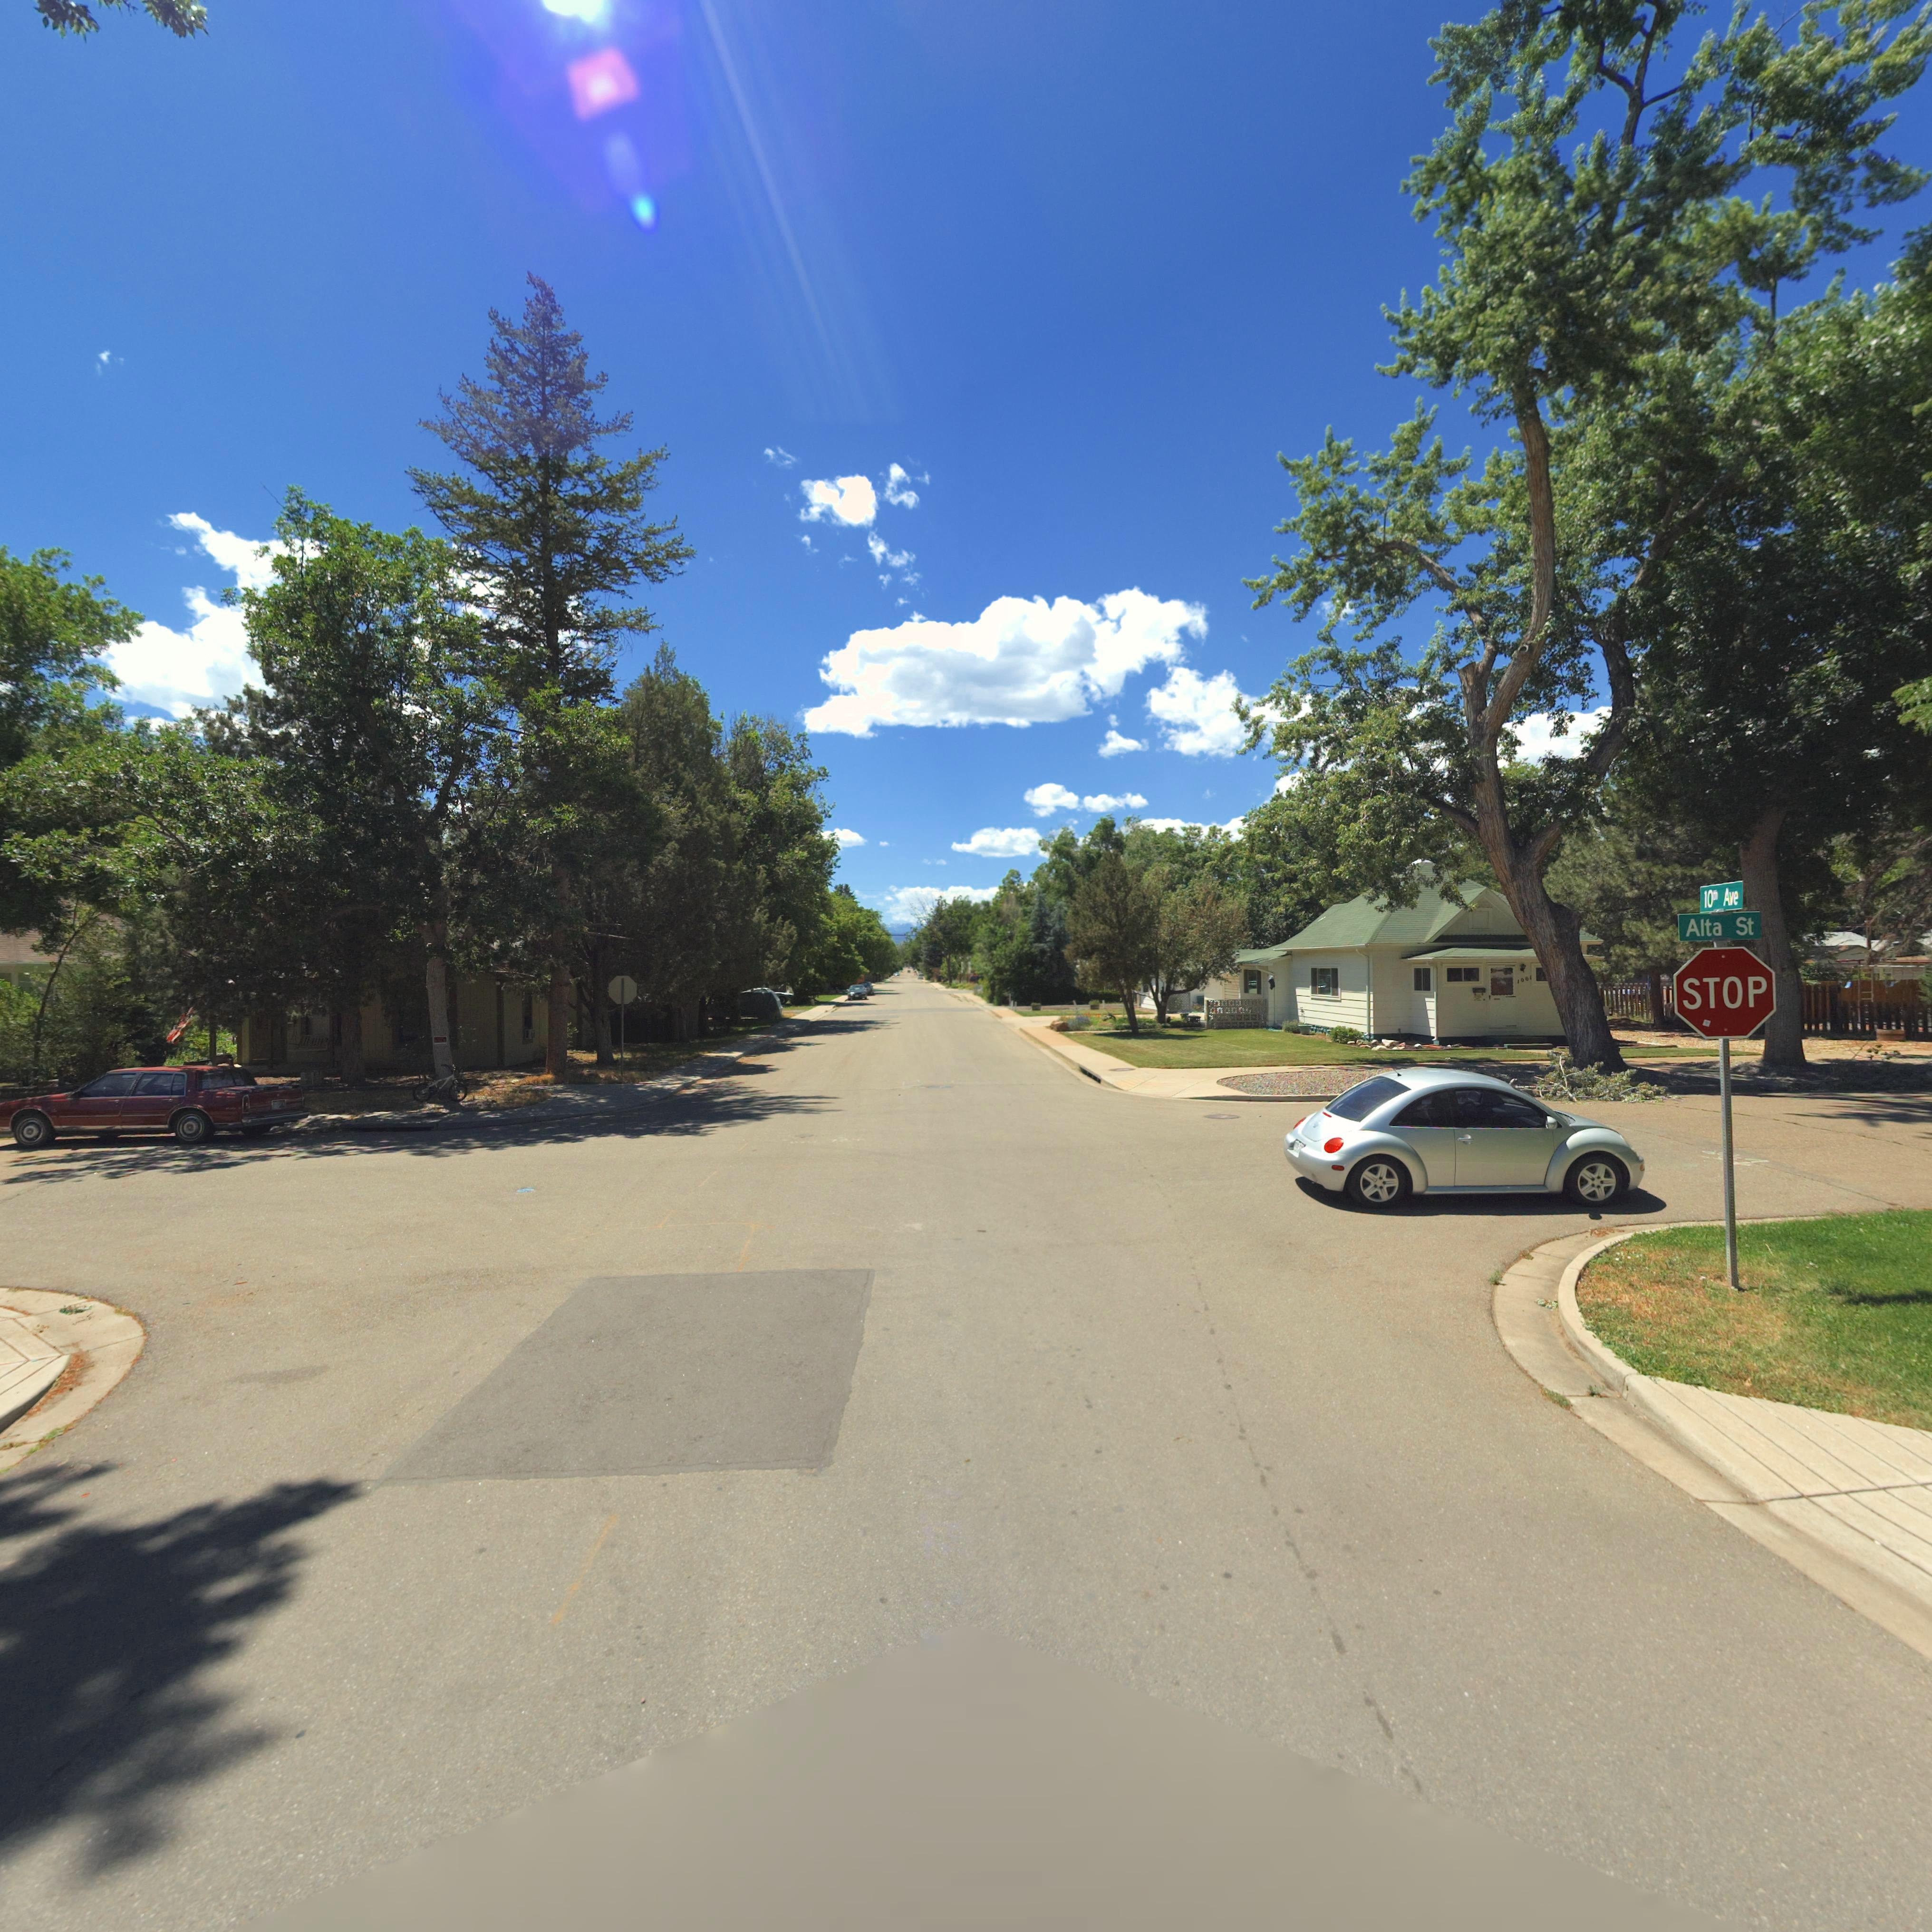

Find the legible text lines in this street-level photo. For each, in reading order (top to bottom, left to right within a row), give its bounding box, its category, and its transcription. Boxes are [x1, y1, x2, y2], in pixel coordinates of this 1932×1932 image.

[1703, 887, 1739, 908] StreetName: 10th Ave
[1684, 916, 1755, 937] StreetName: Alta St
[1517, 975, 1531, 984] StreetNumber: 1001